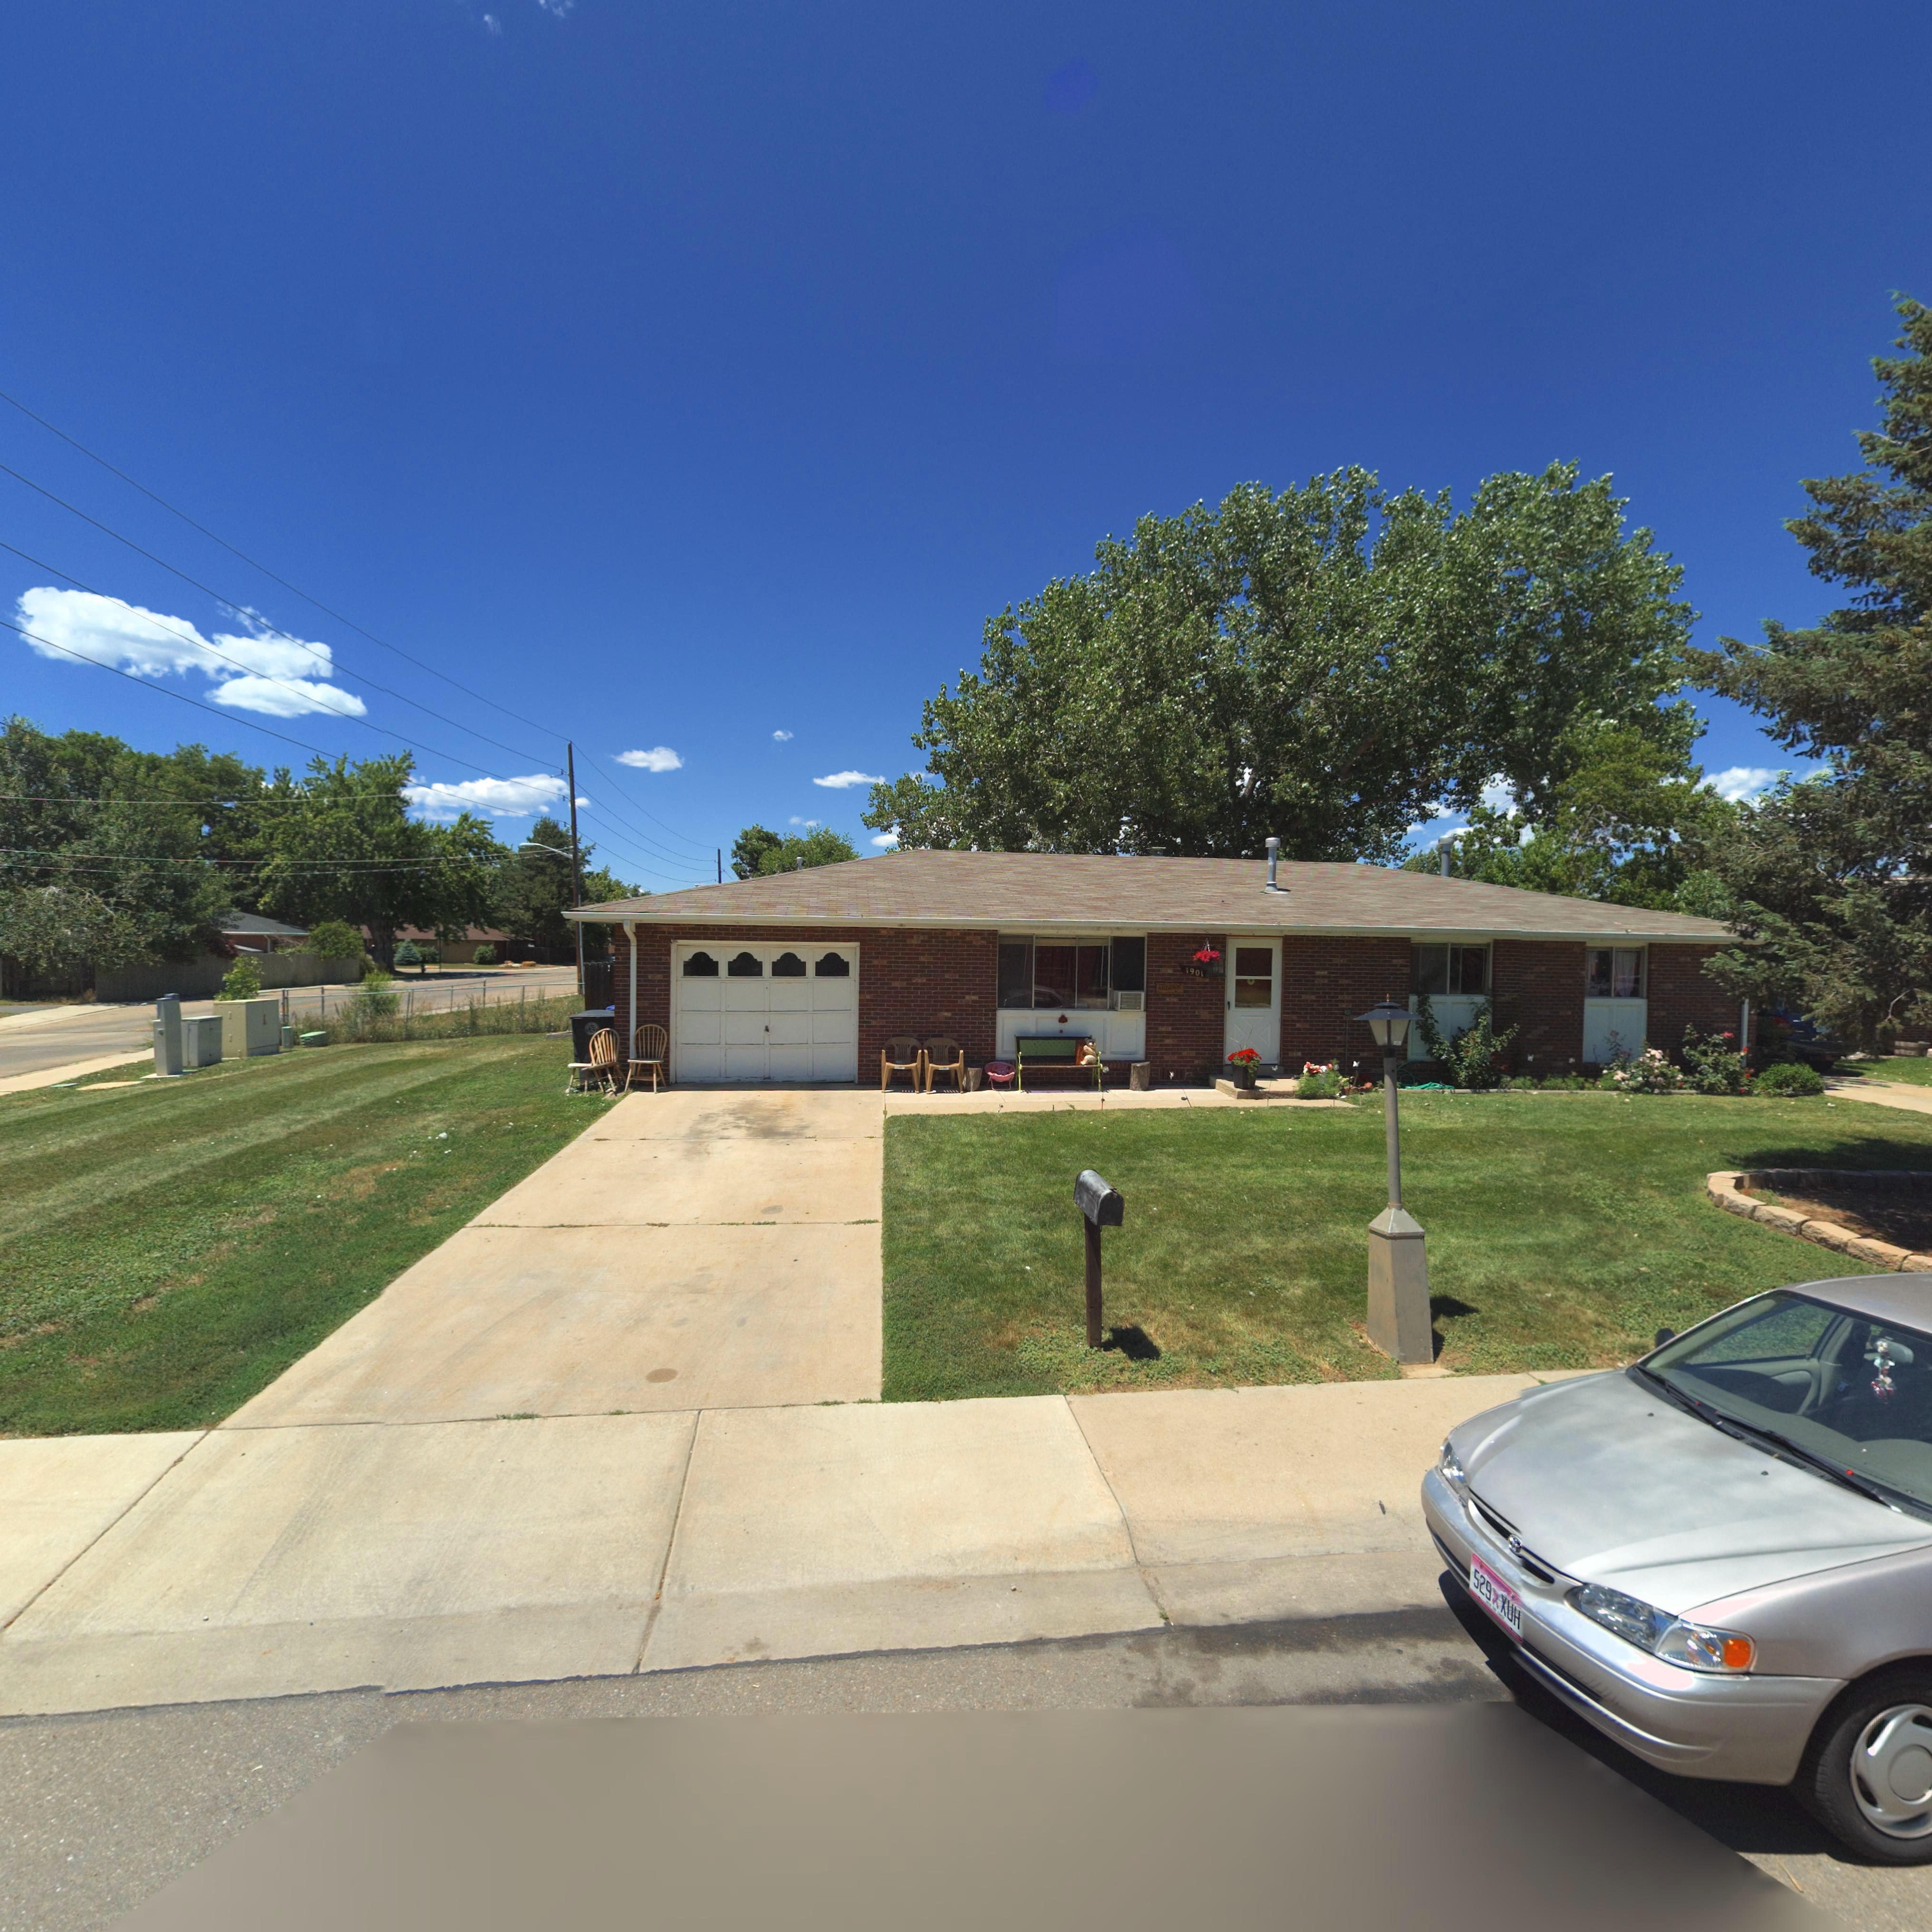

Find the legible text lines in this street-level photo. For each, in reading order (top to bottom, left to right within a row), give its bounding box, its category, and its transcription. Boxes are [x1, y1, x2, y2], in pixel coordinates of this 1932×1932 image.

[1186, 967, 1204, 977] StreetNumber: 1901